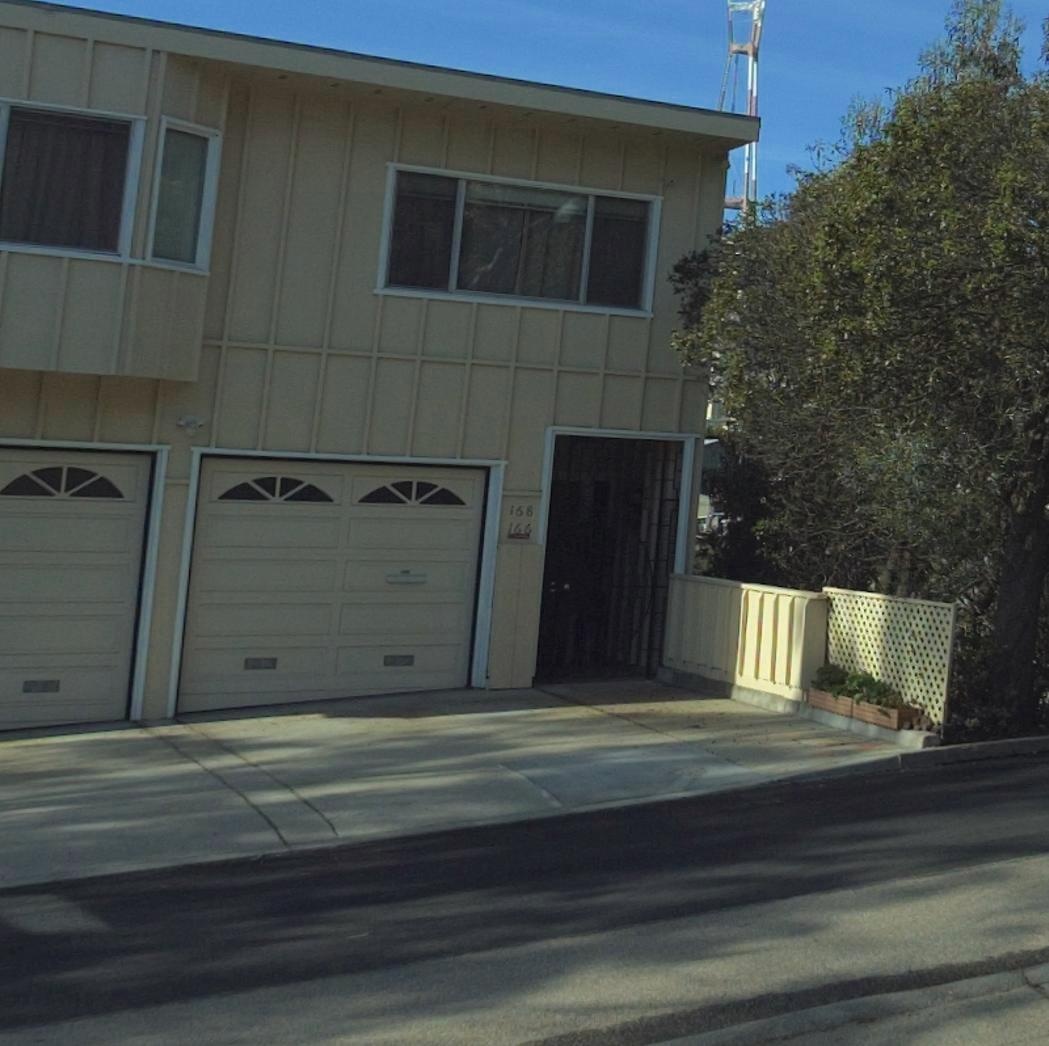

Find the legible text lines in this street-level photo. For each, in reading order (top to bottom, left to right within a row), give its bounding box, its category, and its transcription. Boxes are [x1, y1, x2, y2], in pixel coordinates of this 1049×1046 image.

[507, 504, 535, 518] StreetNumber: 168
[506, 522, 532, 536] StreetNumber: 166